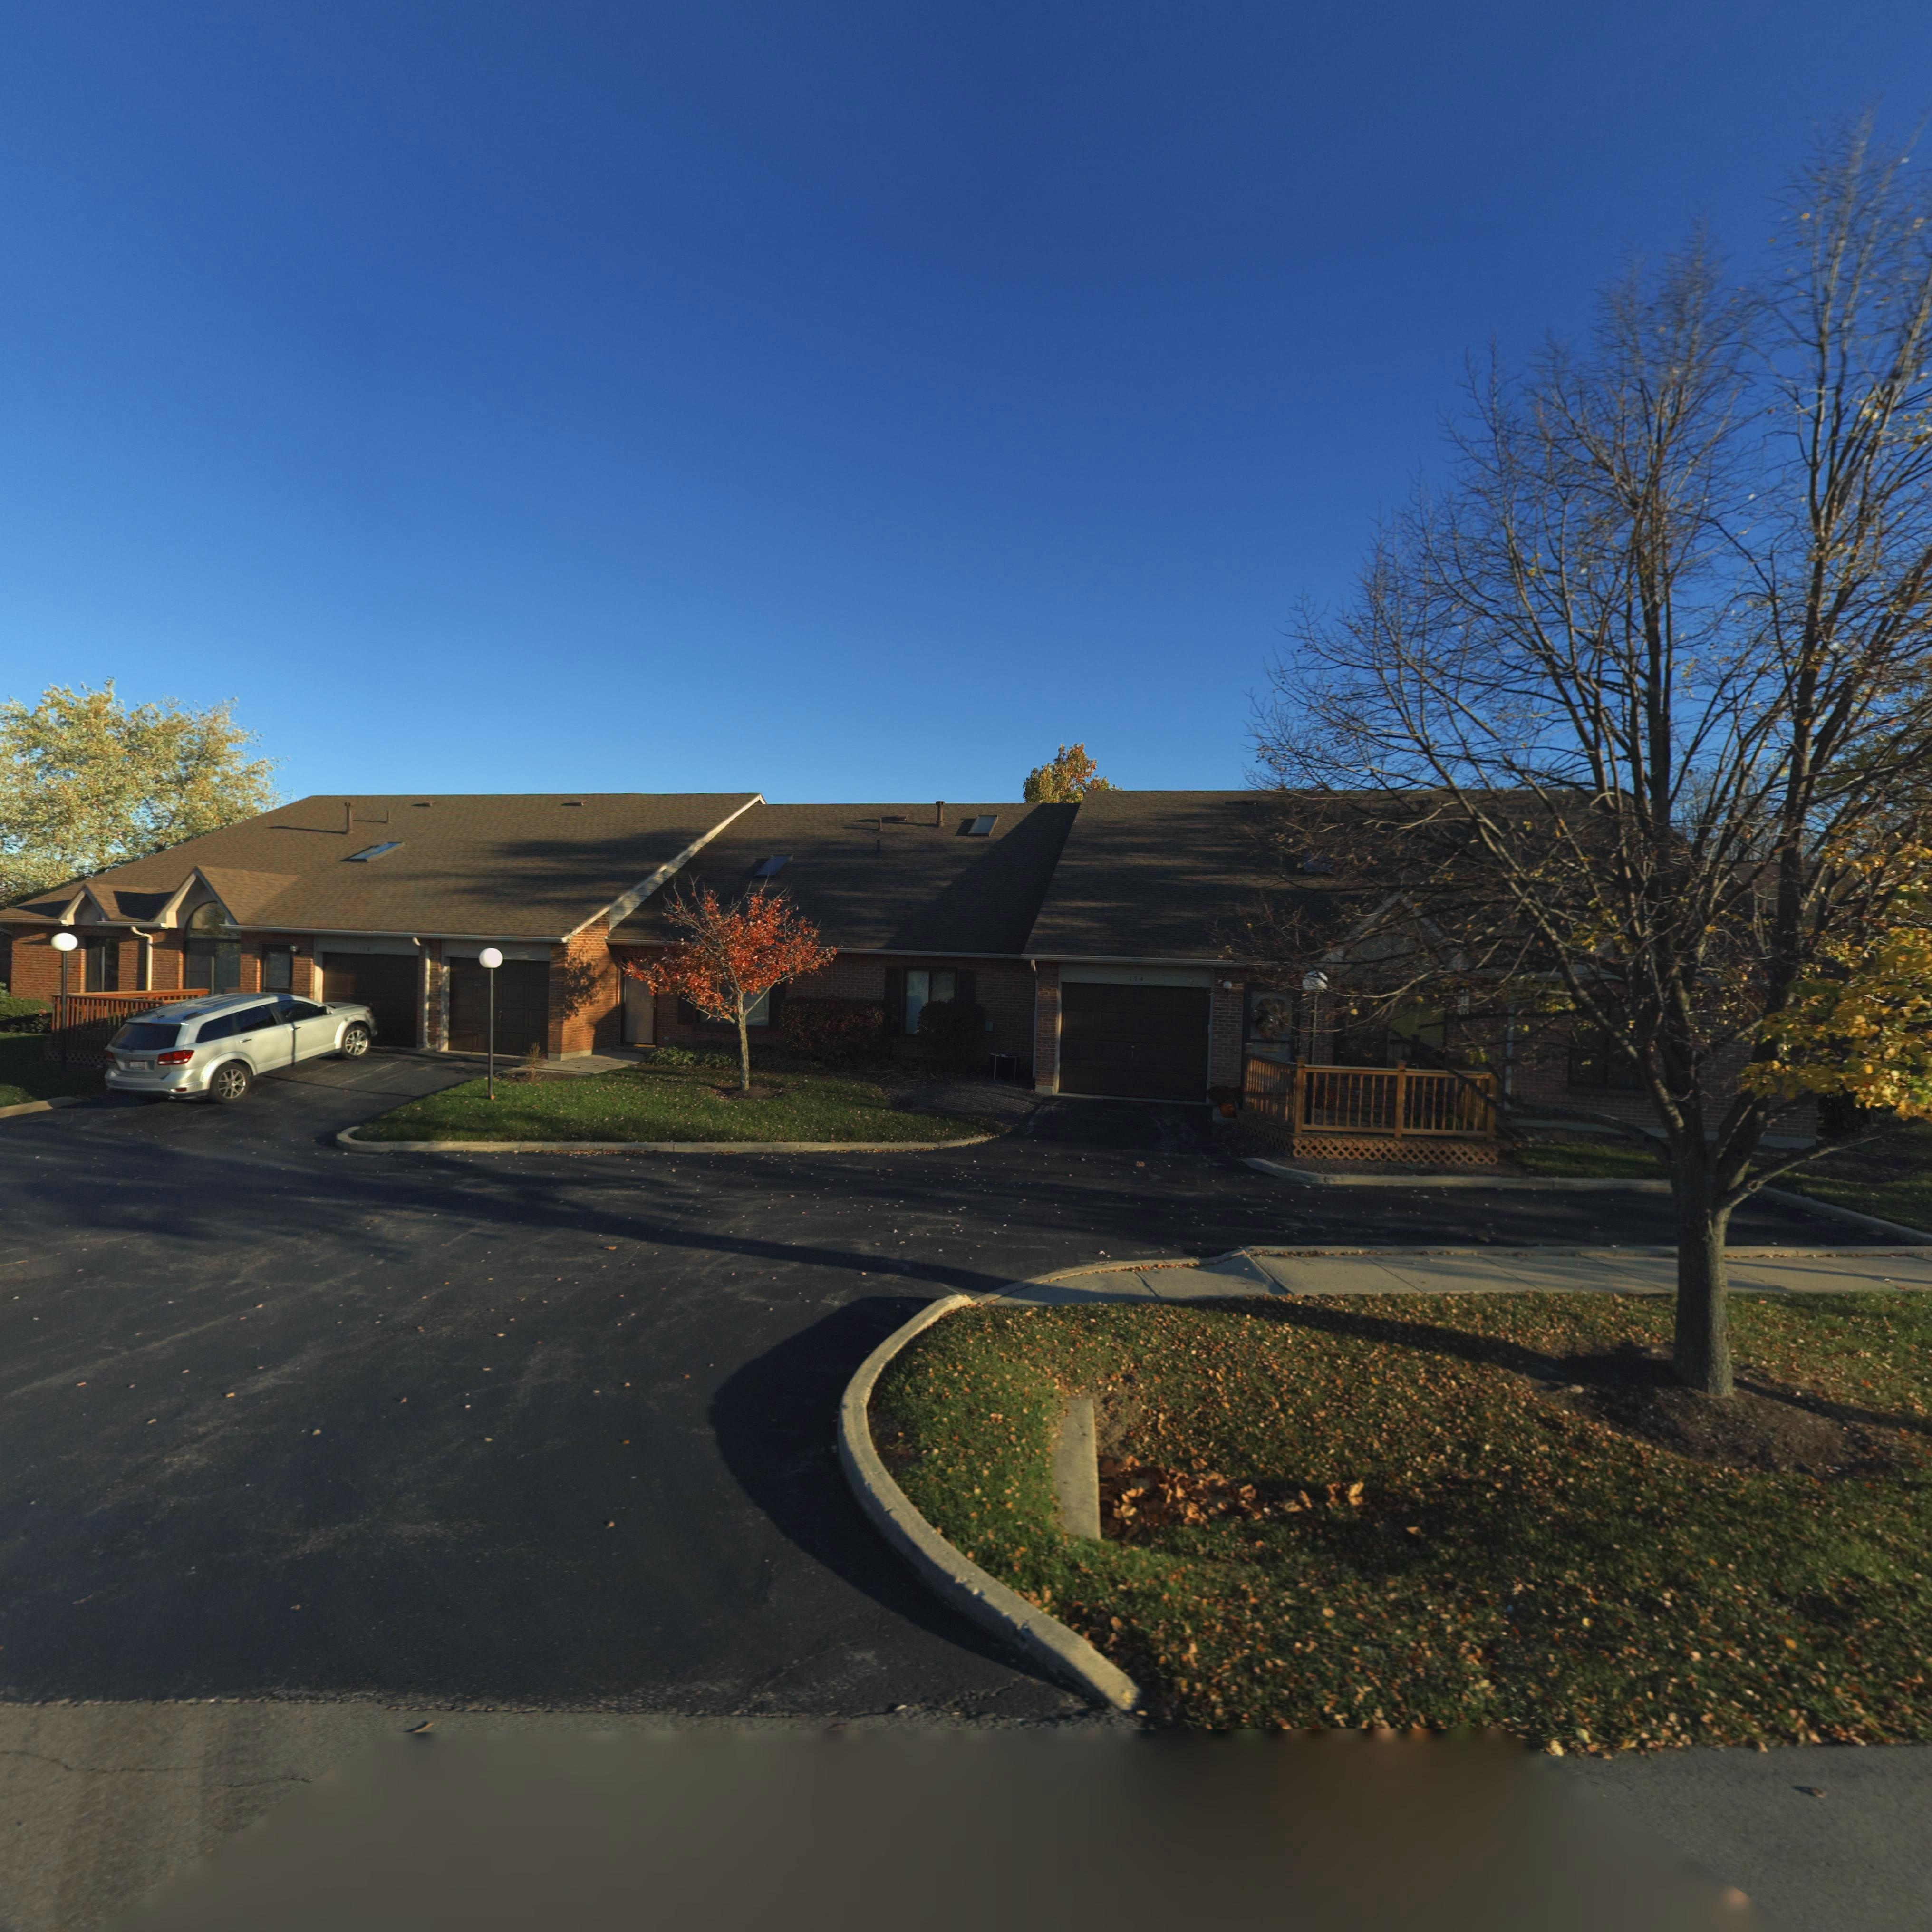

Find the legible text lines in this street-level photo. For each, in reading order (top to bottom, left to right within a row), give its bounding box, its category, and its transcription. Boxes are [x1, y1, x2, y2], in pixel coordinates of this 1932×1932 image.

[1128, 975, 1145, 983] StreetNumber: 174